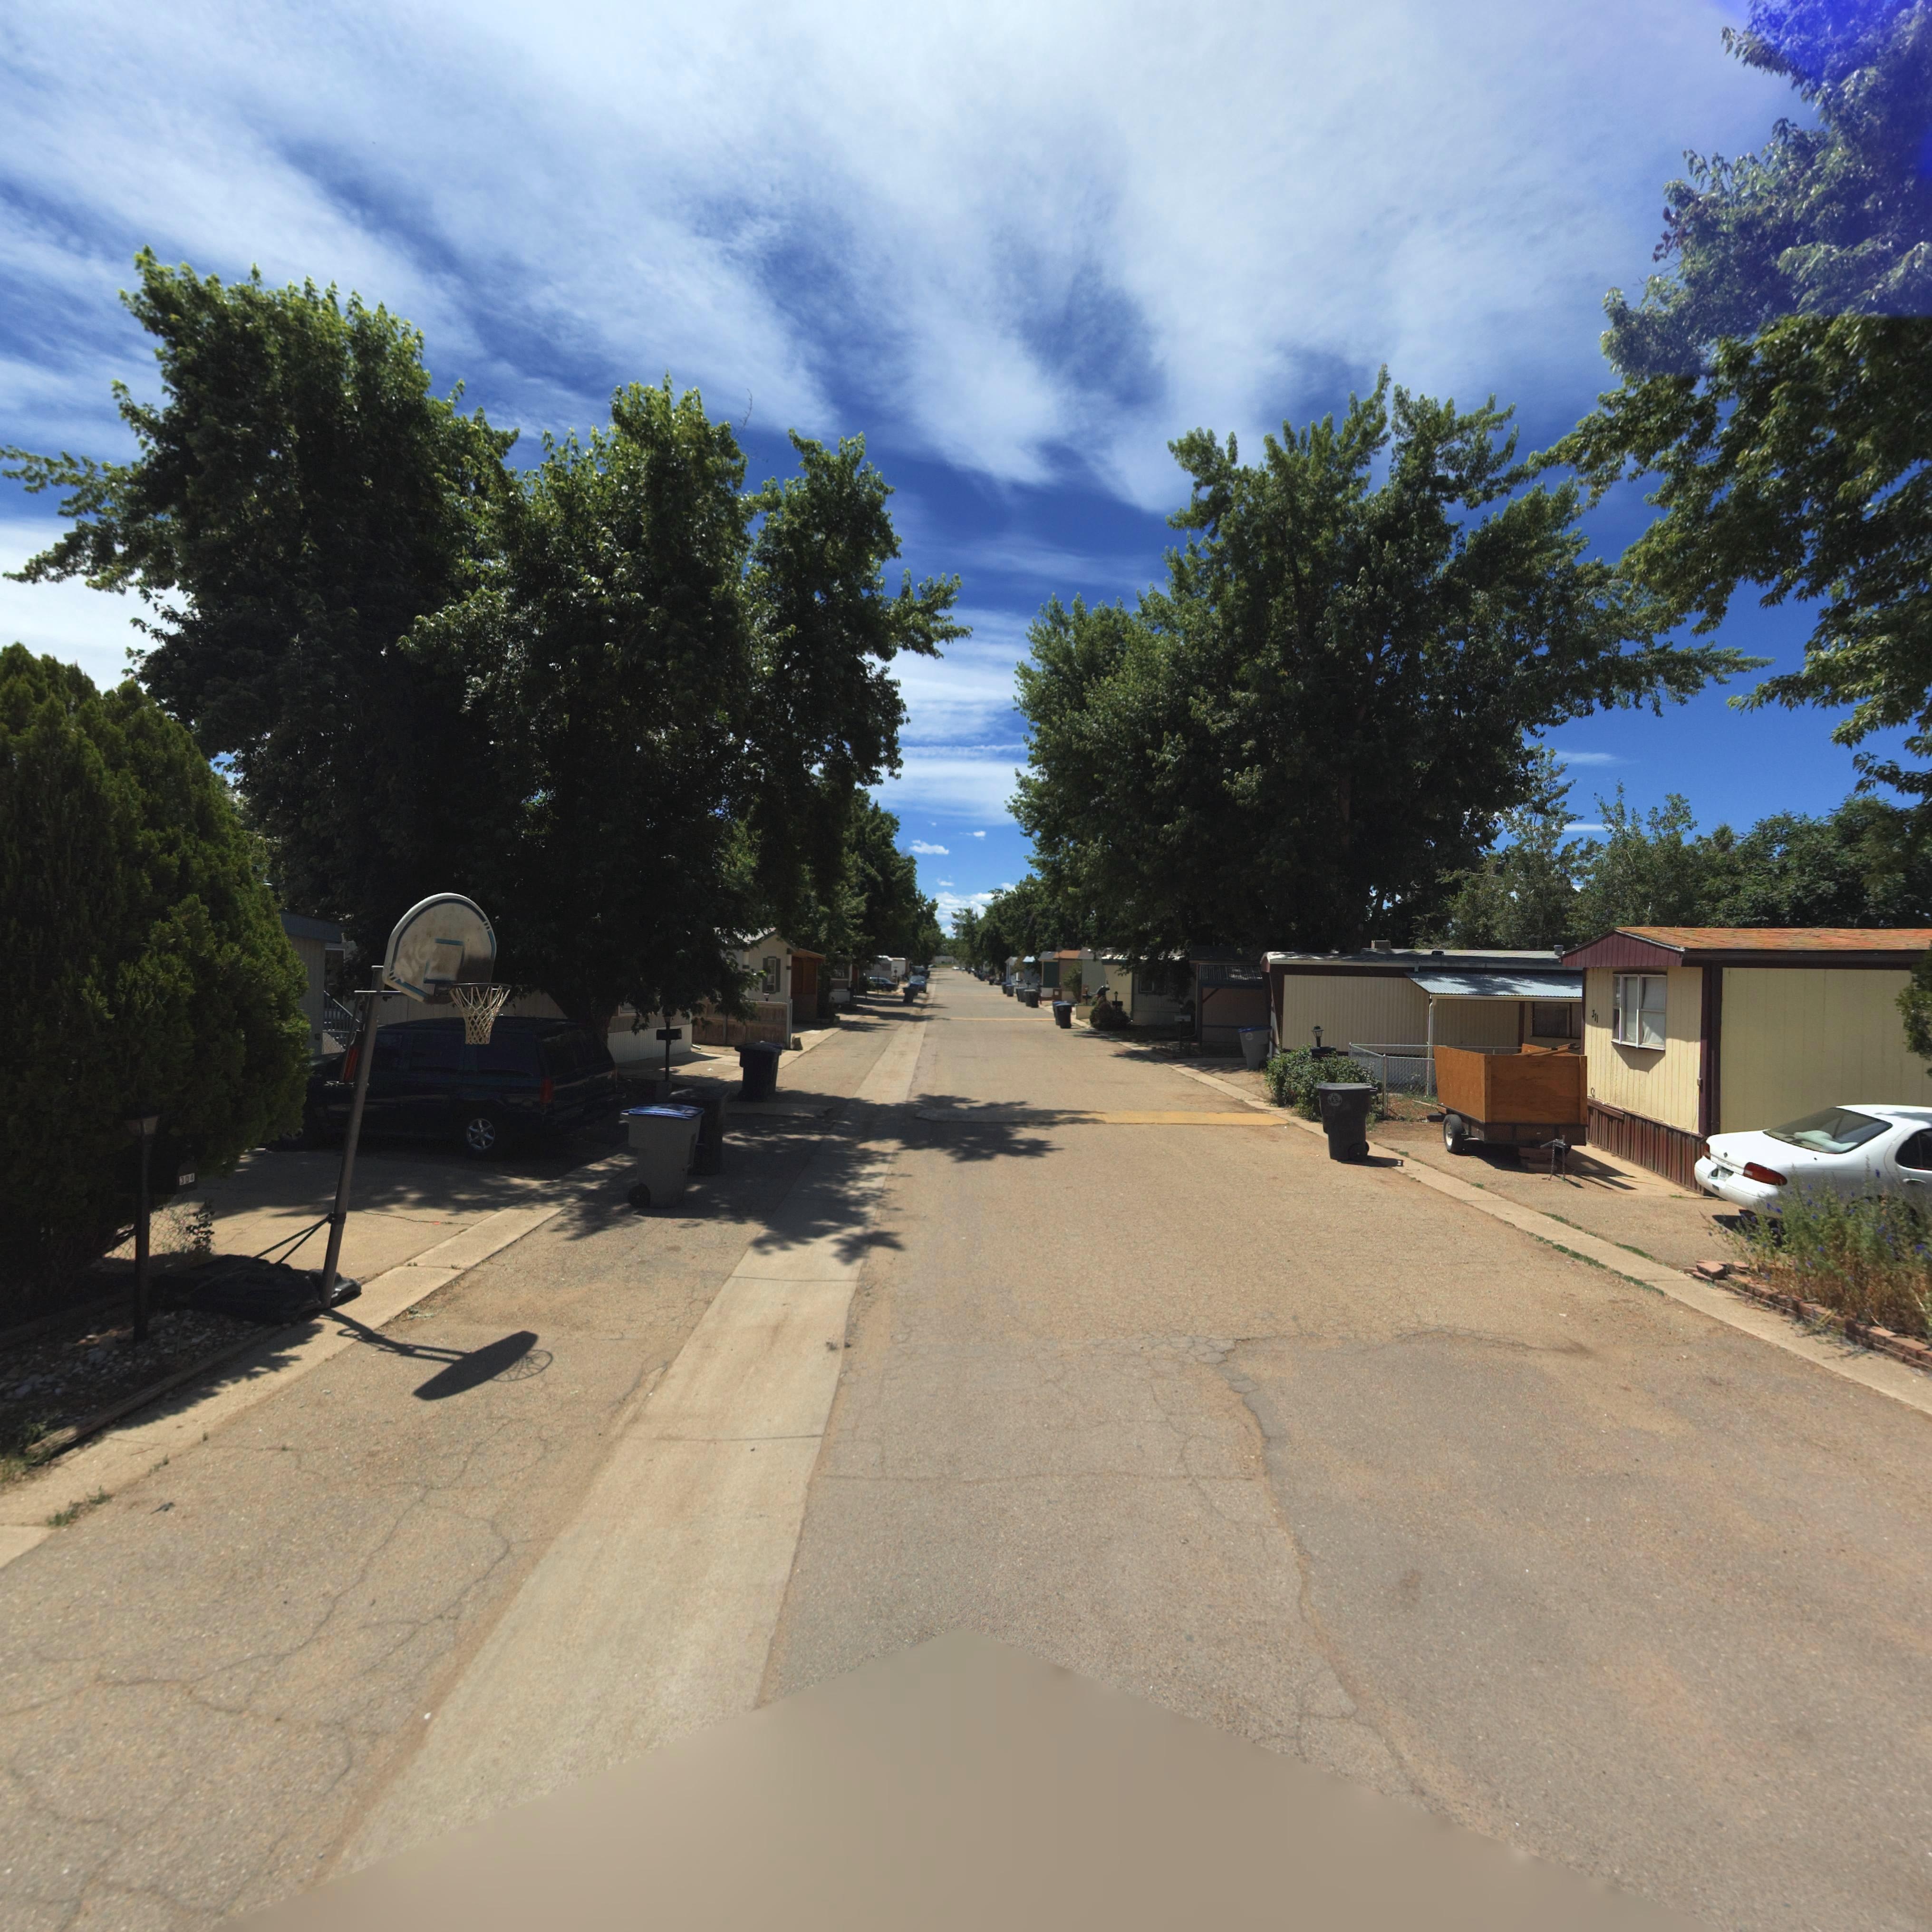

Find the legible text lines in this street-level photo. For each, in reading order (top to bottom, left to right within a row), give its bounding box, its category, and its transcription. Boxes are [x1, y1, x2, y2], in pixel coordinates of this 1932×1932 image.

[1591, 1009, 1599, 1023] StreetNumber: 311
[180, 1173, 193, 1185] StreetNumber: 304